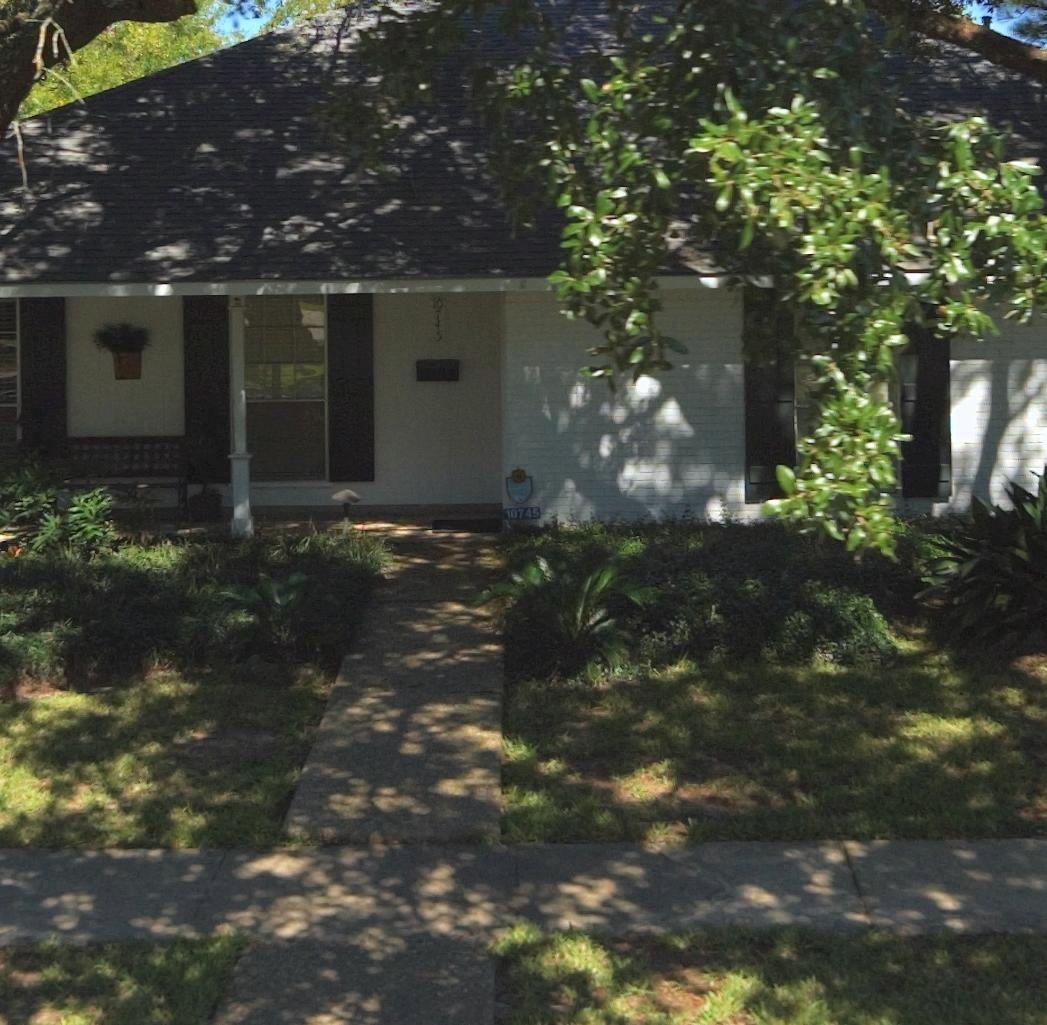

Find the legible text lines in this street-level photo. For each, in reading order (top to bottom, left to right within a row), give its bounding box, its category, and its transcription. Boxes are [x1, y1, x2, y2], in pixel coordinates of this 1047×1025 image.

[504, 506, 541, 521] StreetNumber: 10745